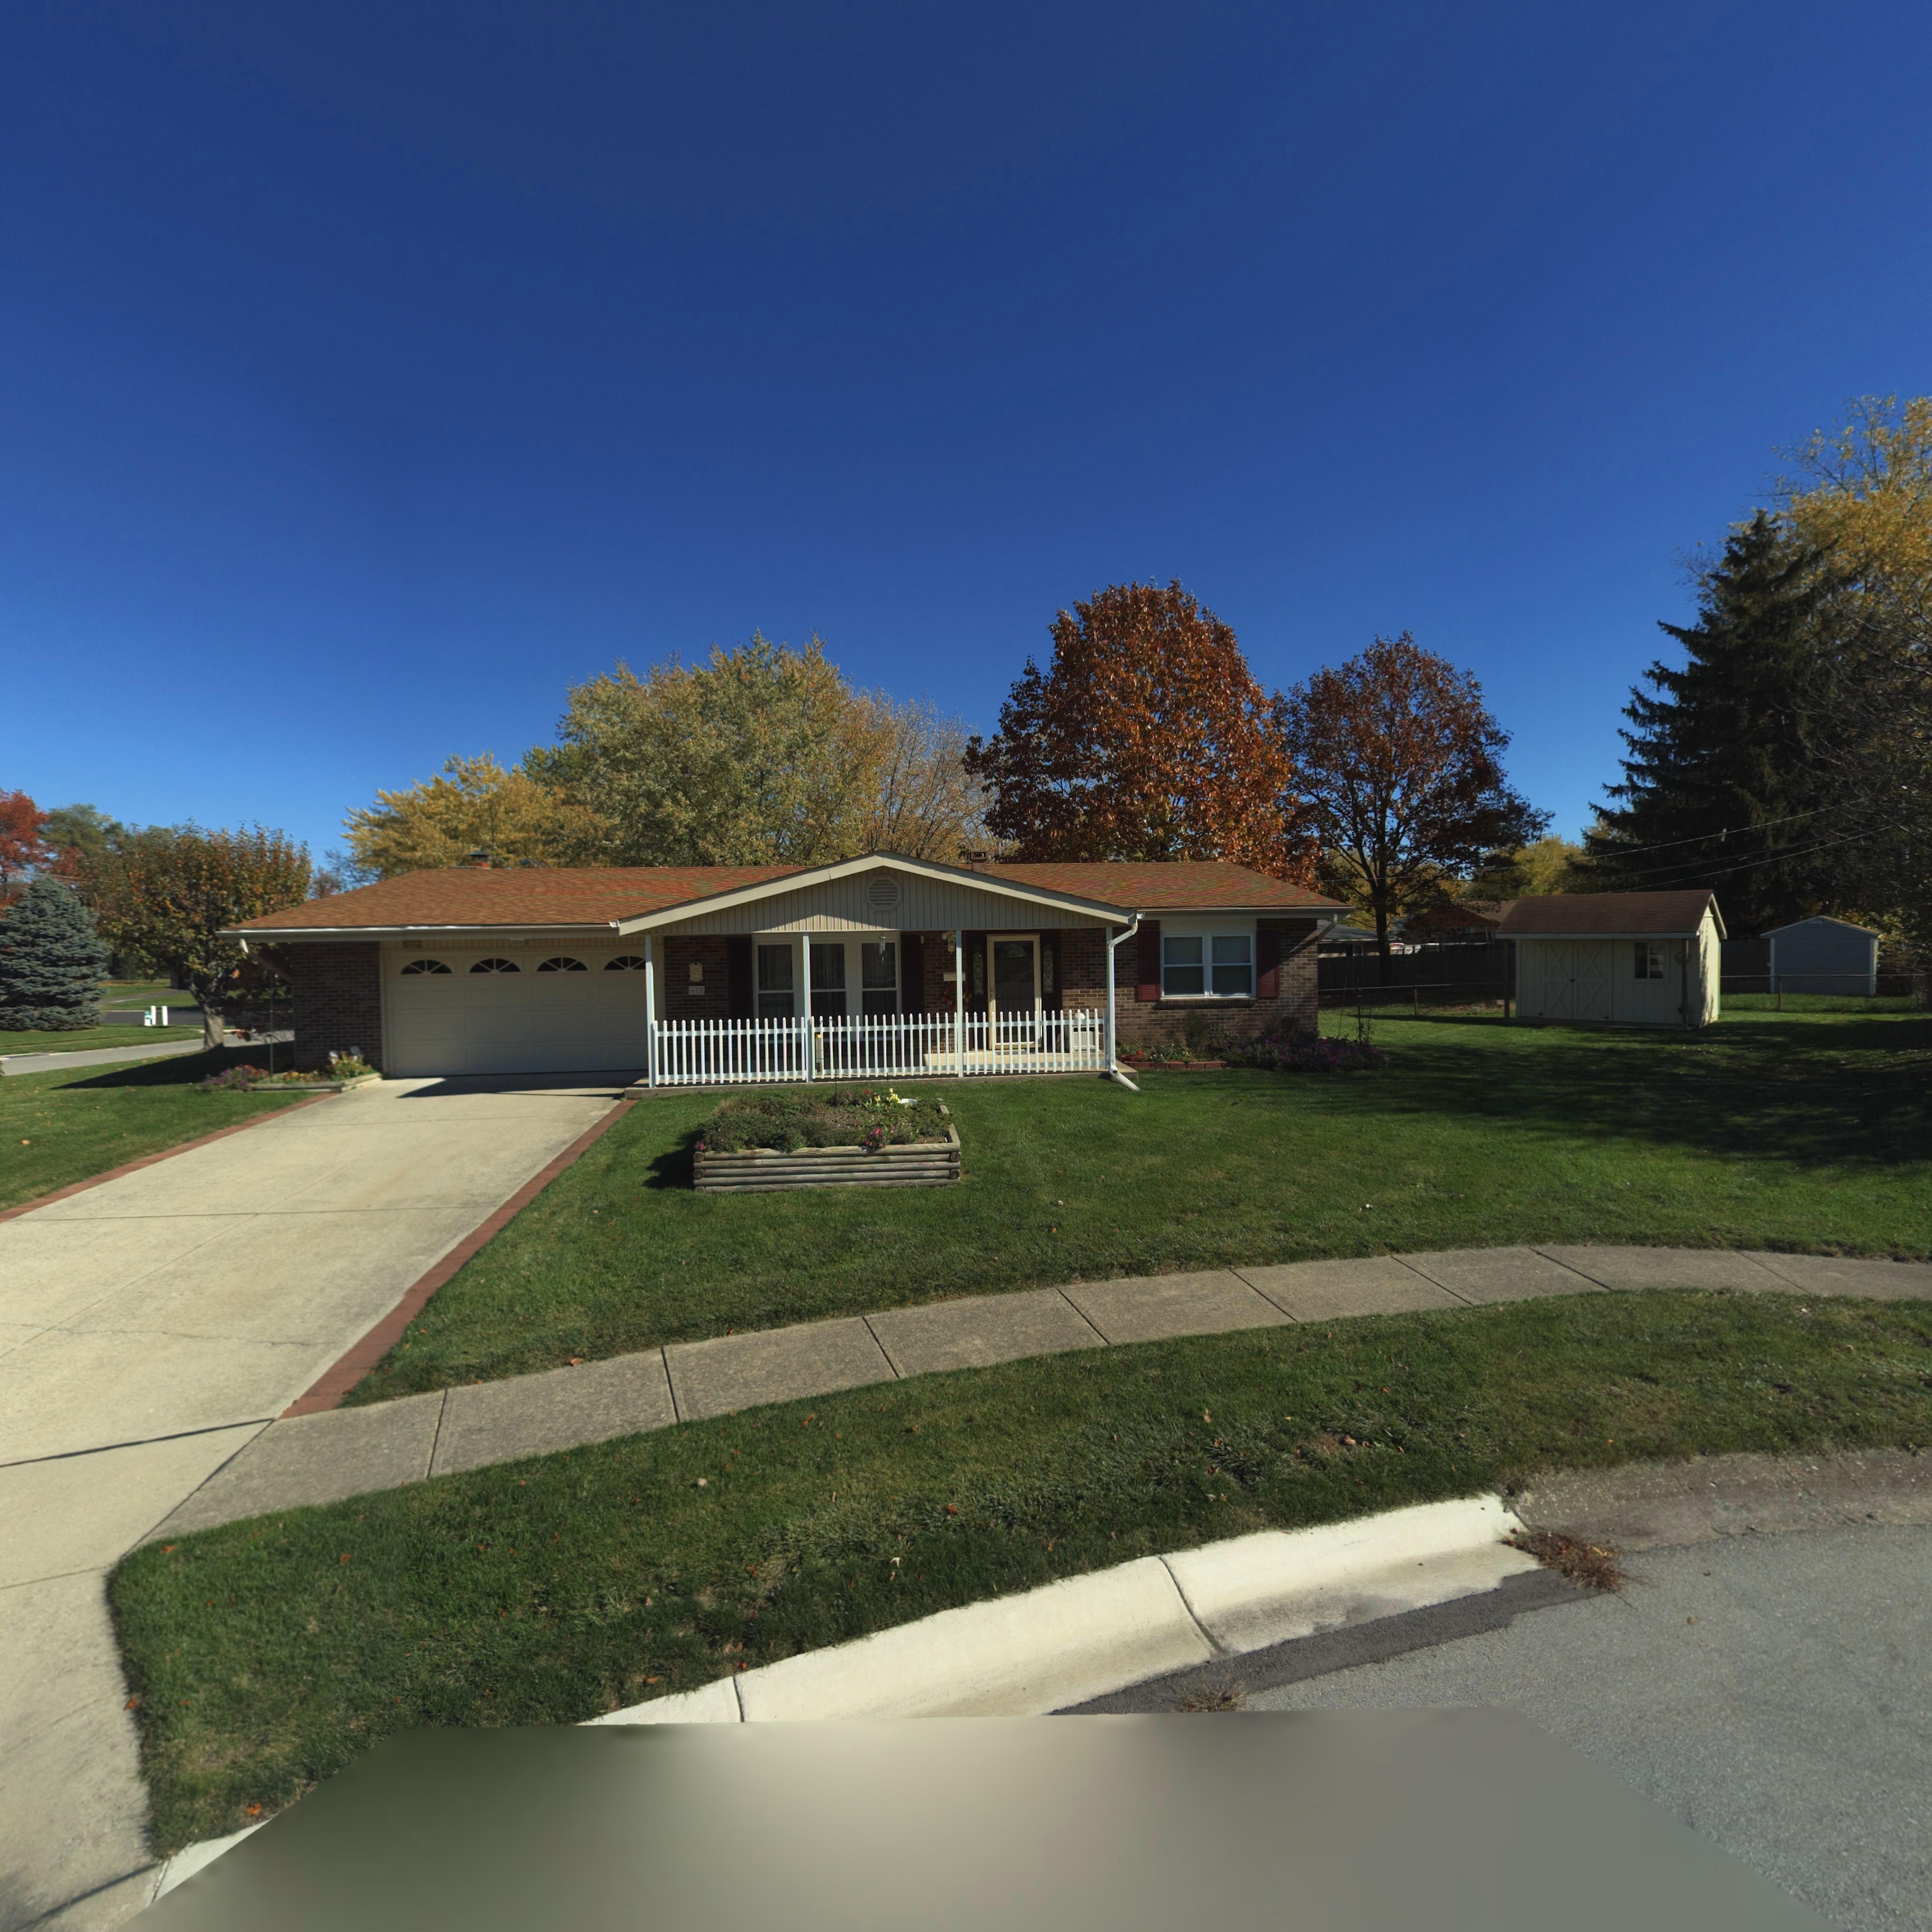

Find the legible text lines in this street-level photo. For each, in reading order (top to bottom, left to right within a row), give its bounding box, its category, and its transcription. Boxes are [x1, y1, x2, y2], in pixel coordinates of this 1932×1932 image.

[403, 939, 422, 948] StreetNumber: 602
[691, 988, 701, 993] StreetNumber: 602